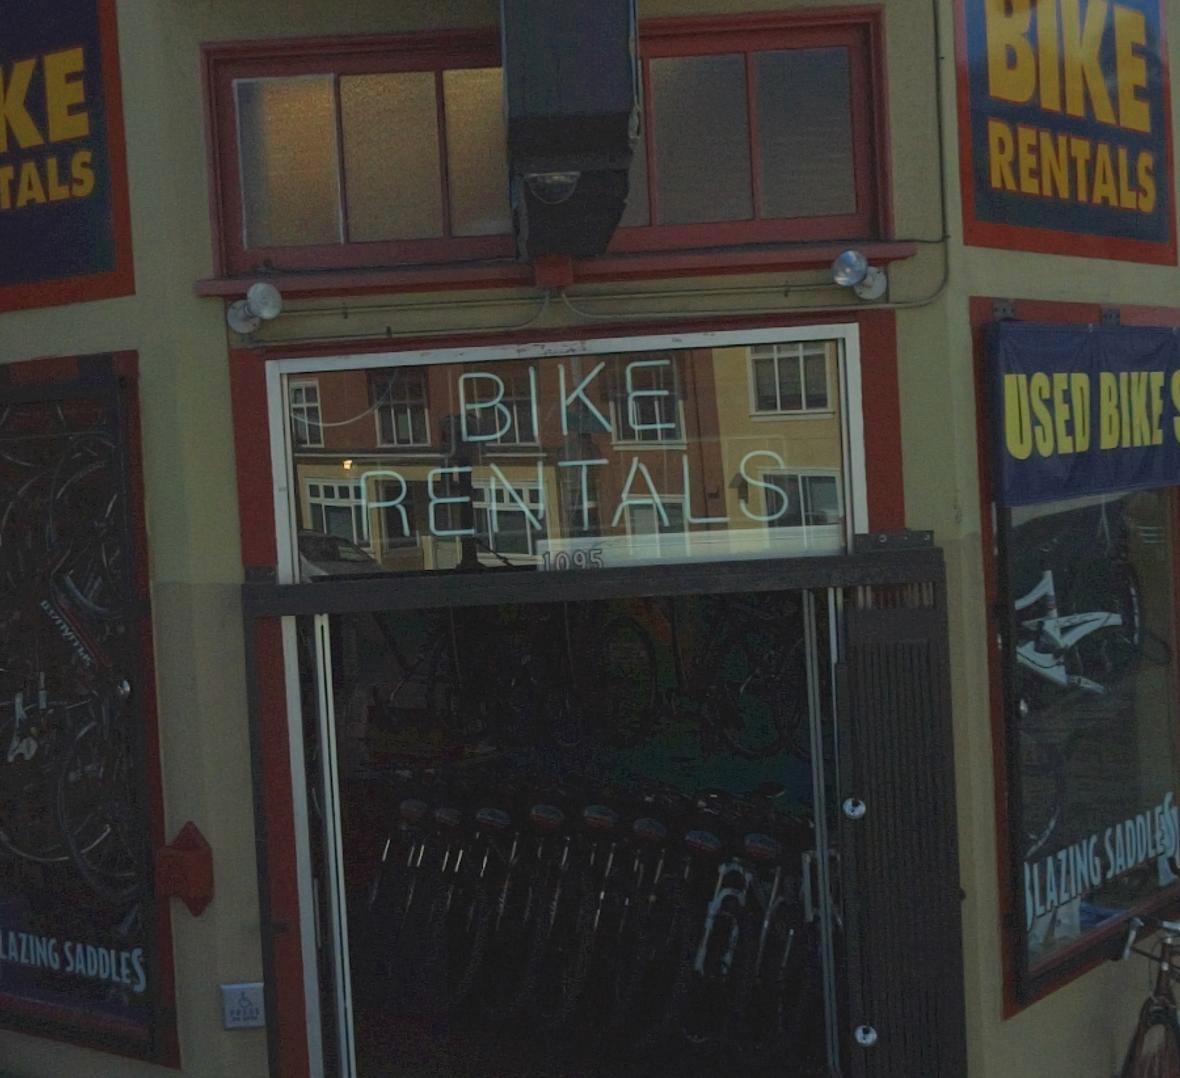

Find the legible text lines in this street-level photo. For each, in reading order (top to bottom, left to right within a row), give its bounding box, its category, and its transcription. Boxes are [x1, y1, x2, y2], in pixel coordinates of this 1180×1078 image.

[39, 43, 94, 149] None: E
[1111, 1, 1155, 138] None: E
[12, 146, 102, 212] None: ALS
[985, 113, 1159, 217] None: RENTALS
[455, 355, 680, 445] None: BIKE
[1000, 370, 1166, 462] None: USED BIKE
[355, 446, 792, 544] None: RENTALS
[539, 547, 605, 573] StreetNumber: 1095
[1030, 785, 1178, 920] BusinessName: LAZING SADDLES
[7, 928, 153, 995] BusinessName: AZING SADDLES